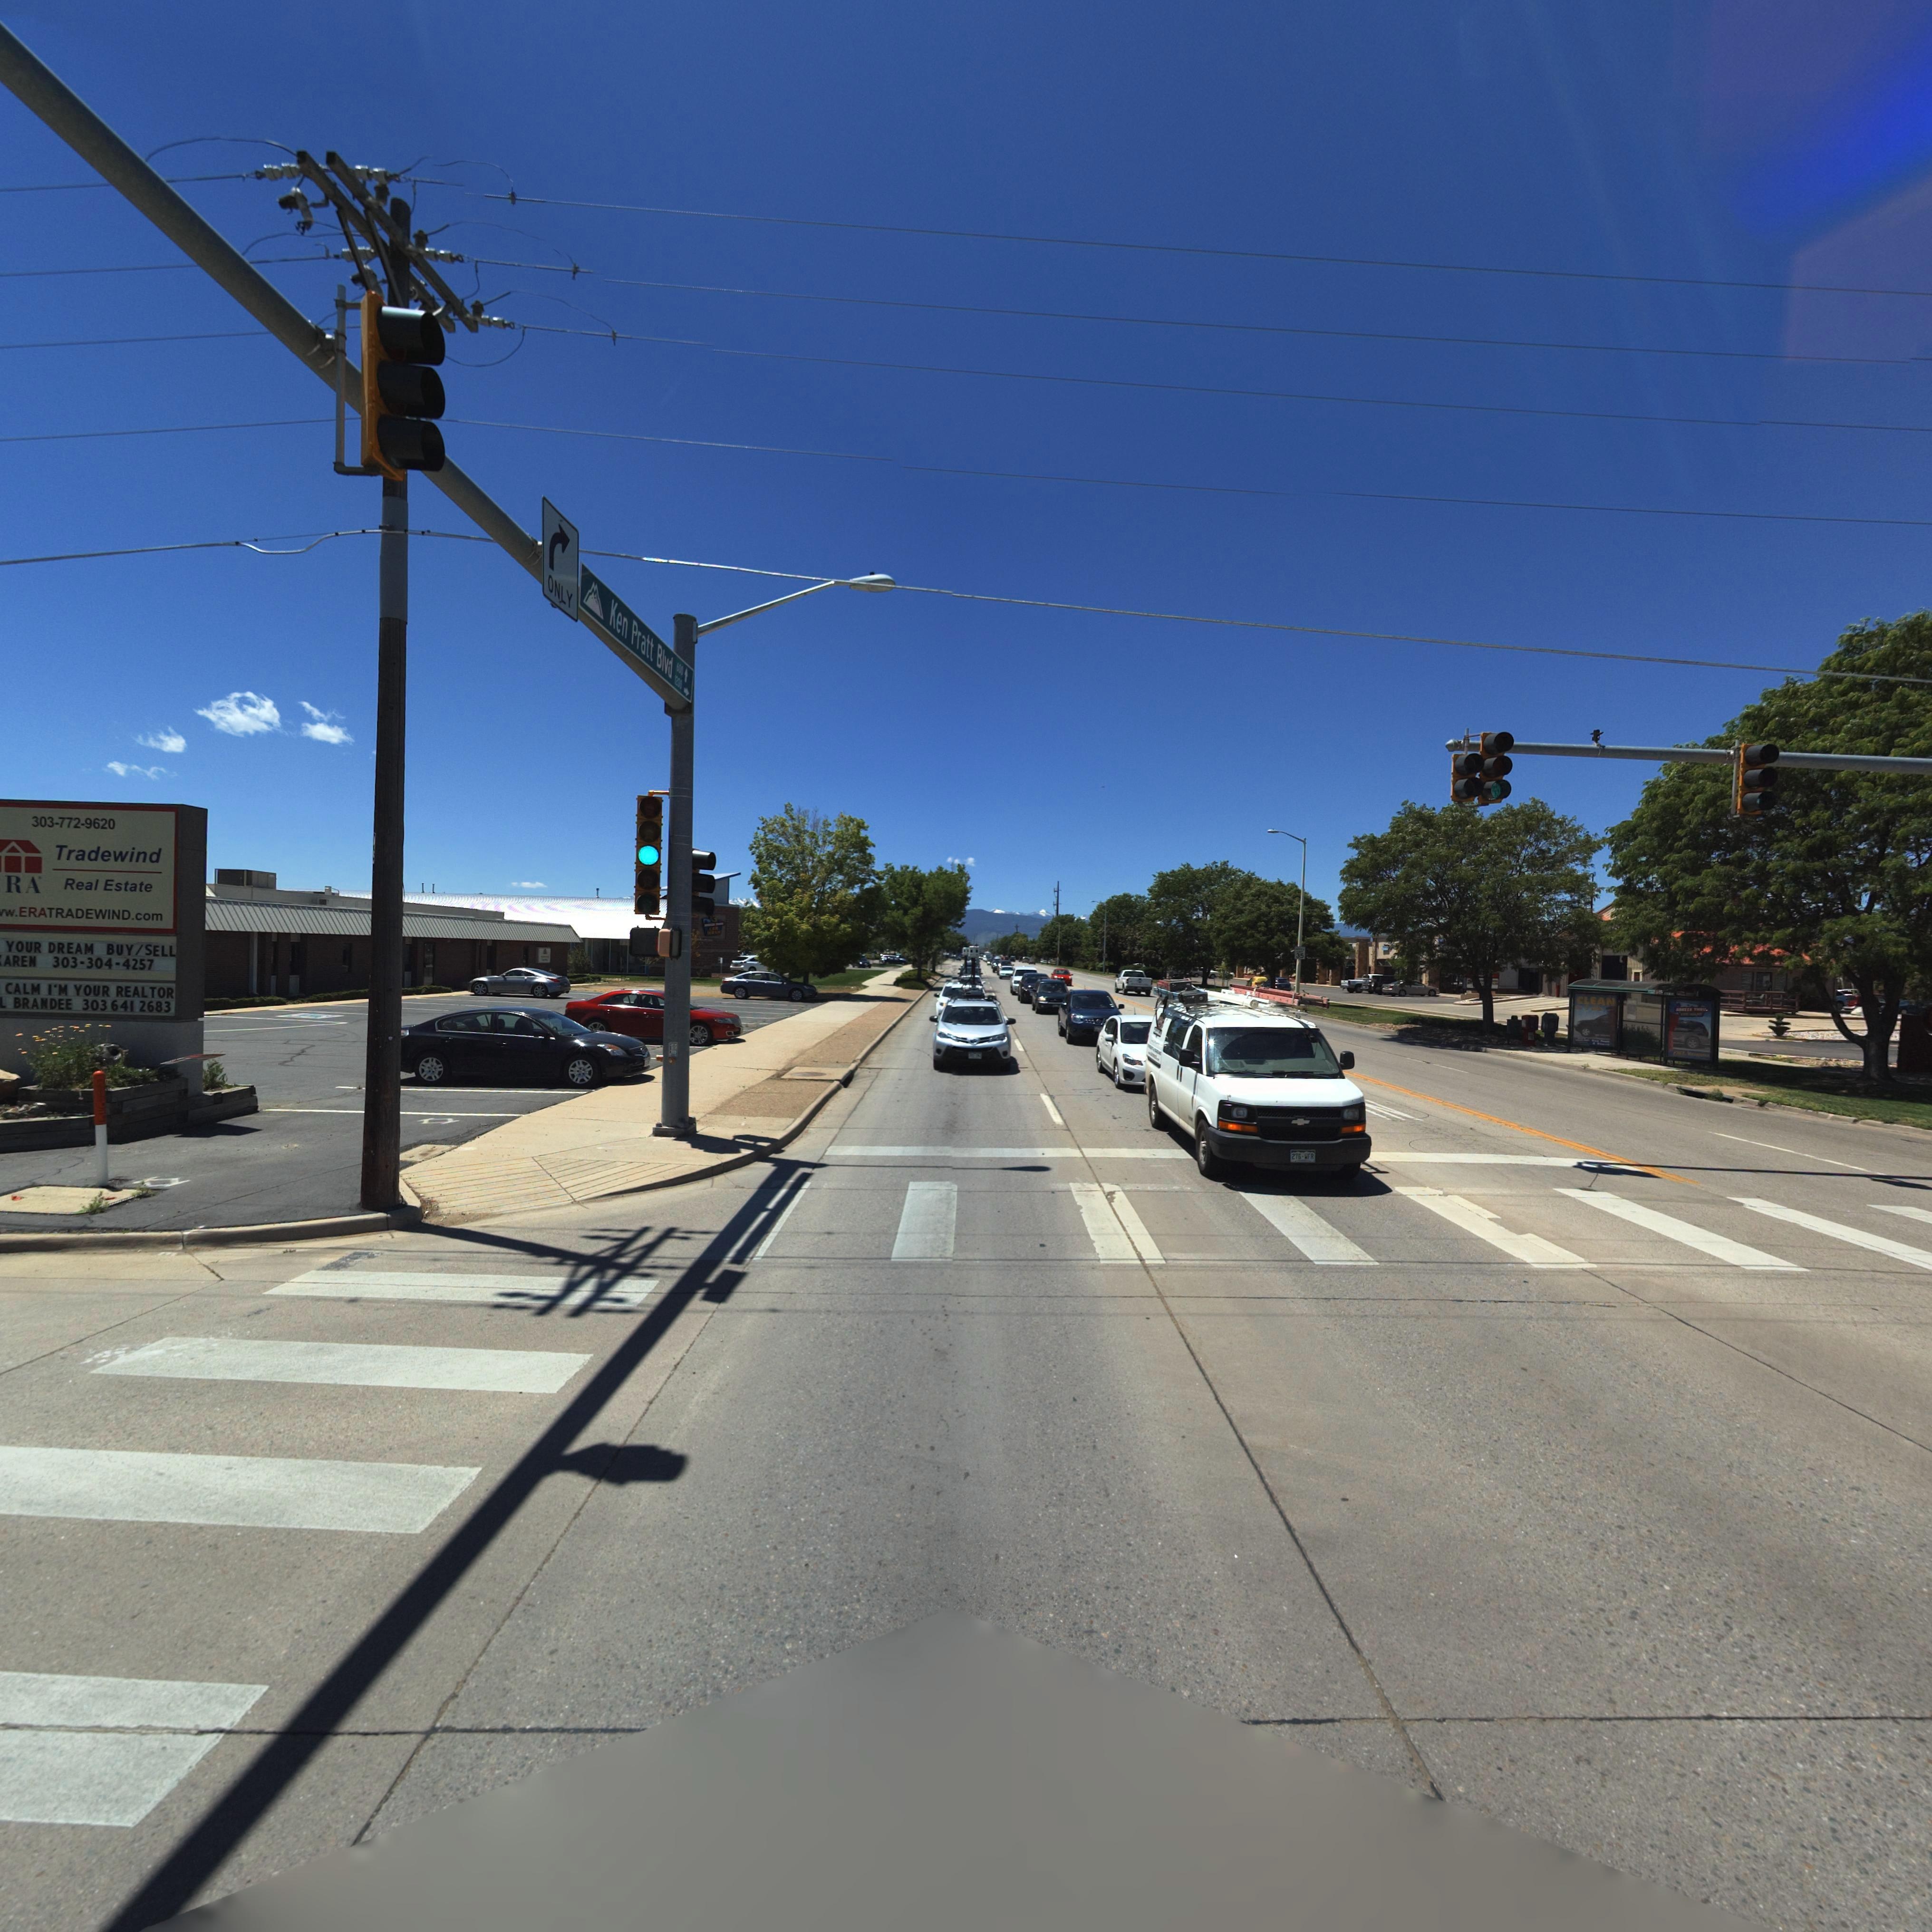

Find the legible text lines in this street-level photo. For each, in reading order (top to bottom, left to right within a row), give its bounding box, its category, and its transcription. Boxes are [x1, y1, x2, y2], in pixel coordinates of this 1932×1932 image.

[609, 597, 674, 679] StreetName: Ken Pratt Blvd
[676, 661, 684, 676] StreetNumberRange: 600
[674, 674, 690, 696] StreetNumberRange: *200 ->
[55, 843, 163, 864] BusinessName: Tradewind
[5, 875, 42, 894] BusinessName: RA
[63, 877, 154, 893] BusinessName: Real Estate
[711, 915, 718, 922] BusinessName: 3
[708, 926, 719, 931] BusinessName: C*R
[706, 930, 721, 936] BusinessName: WA*H